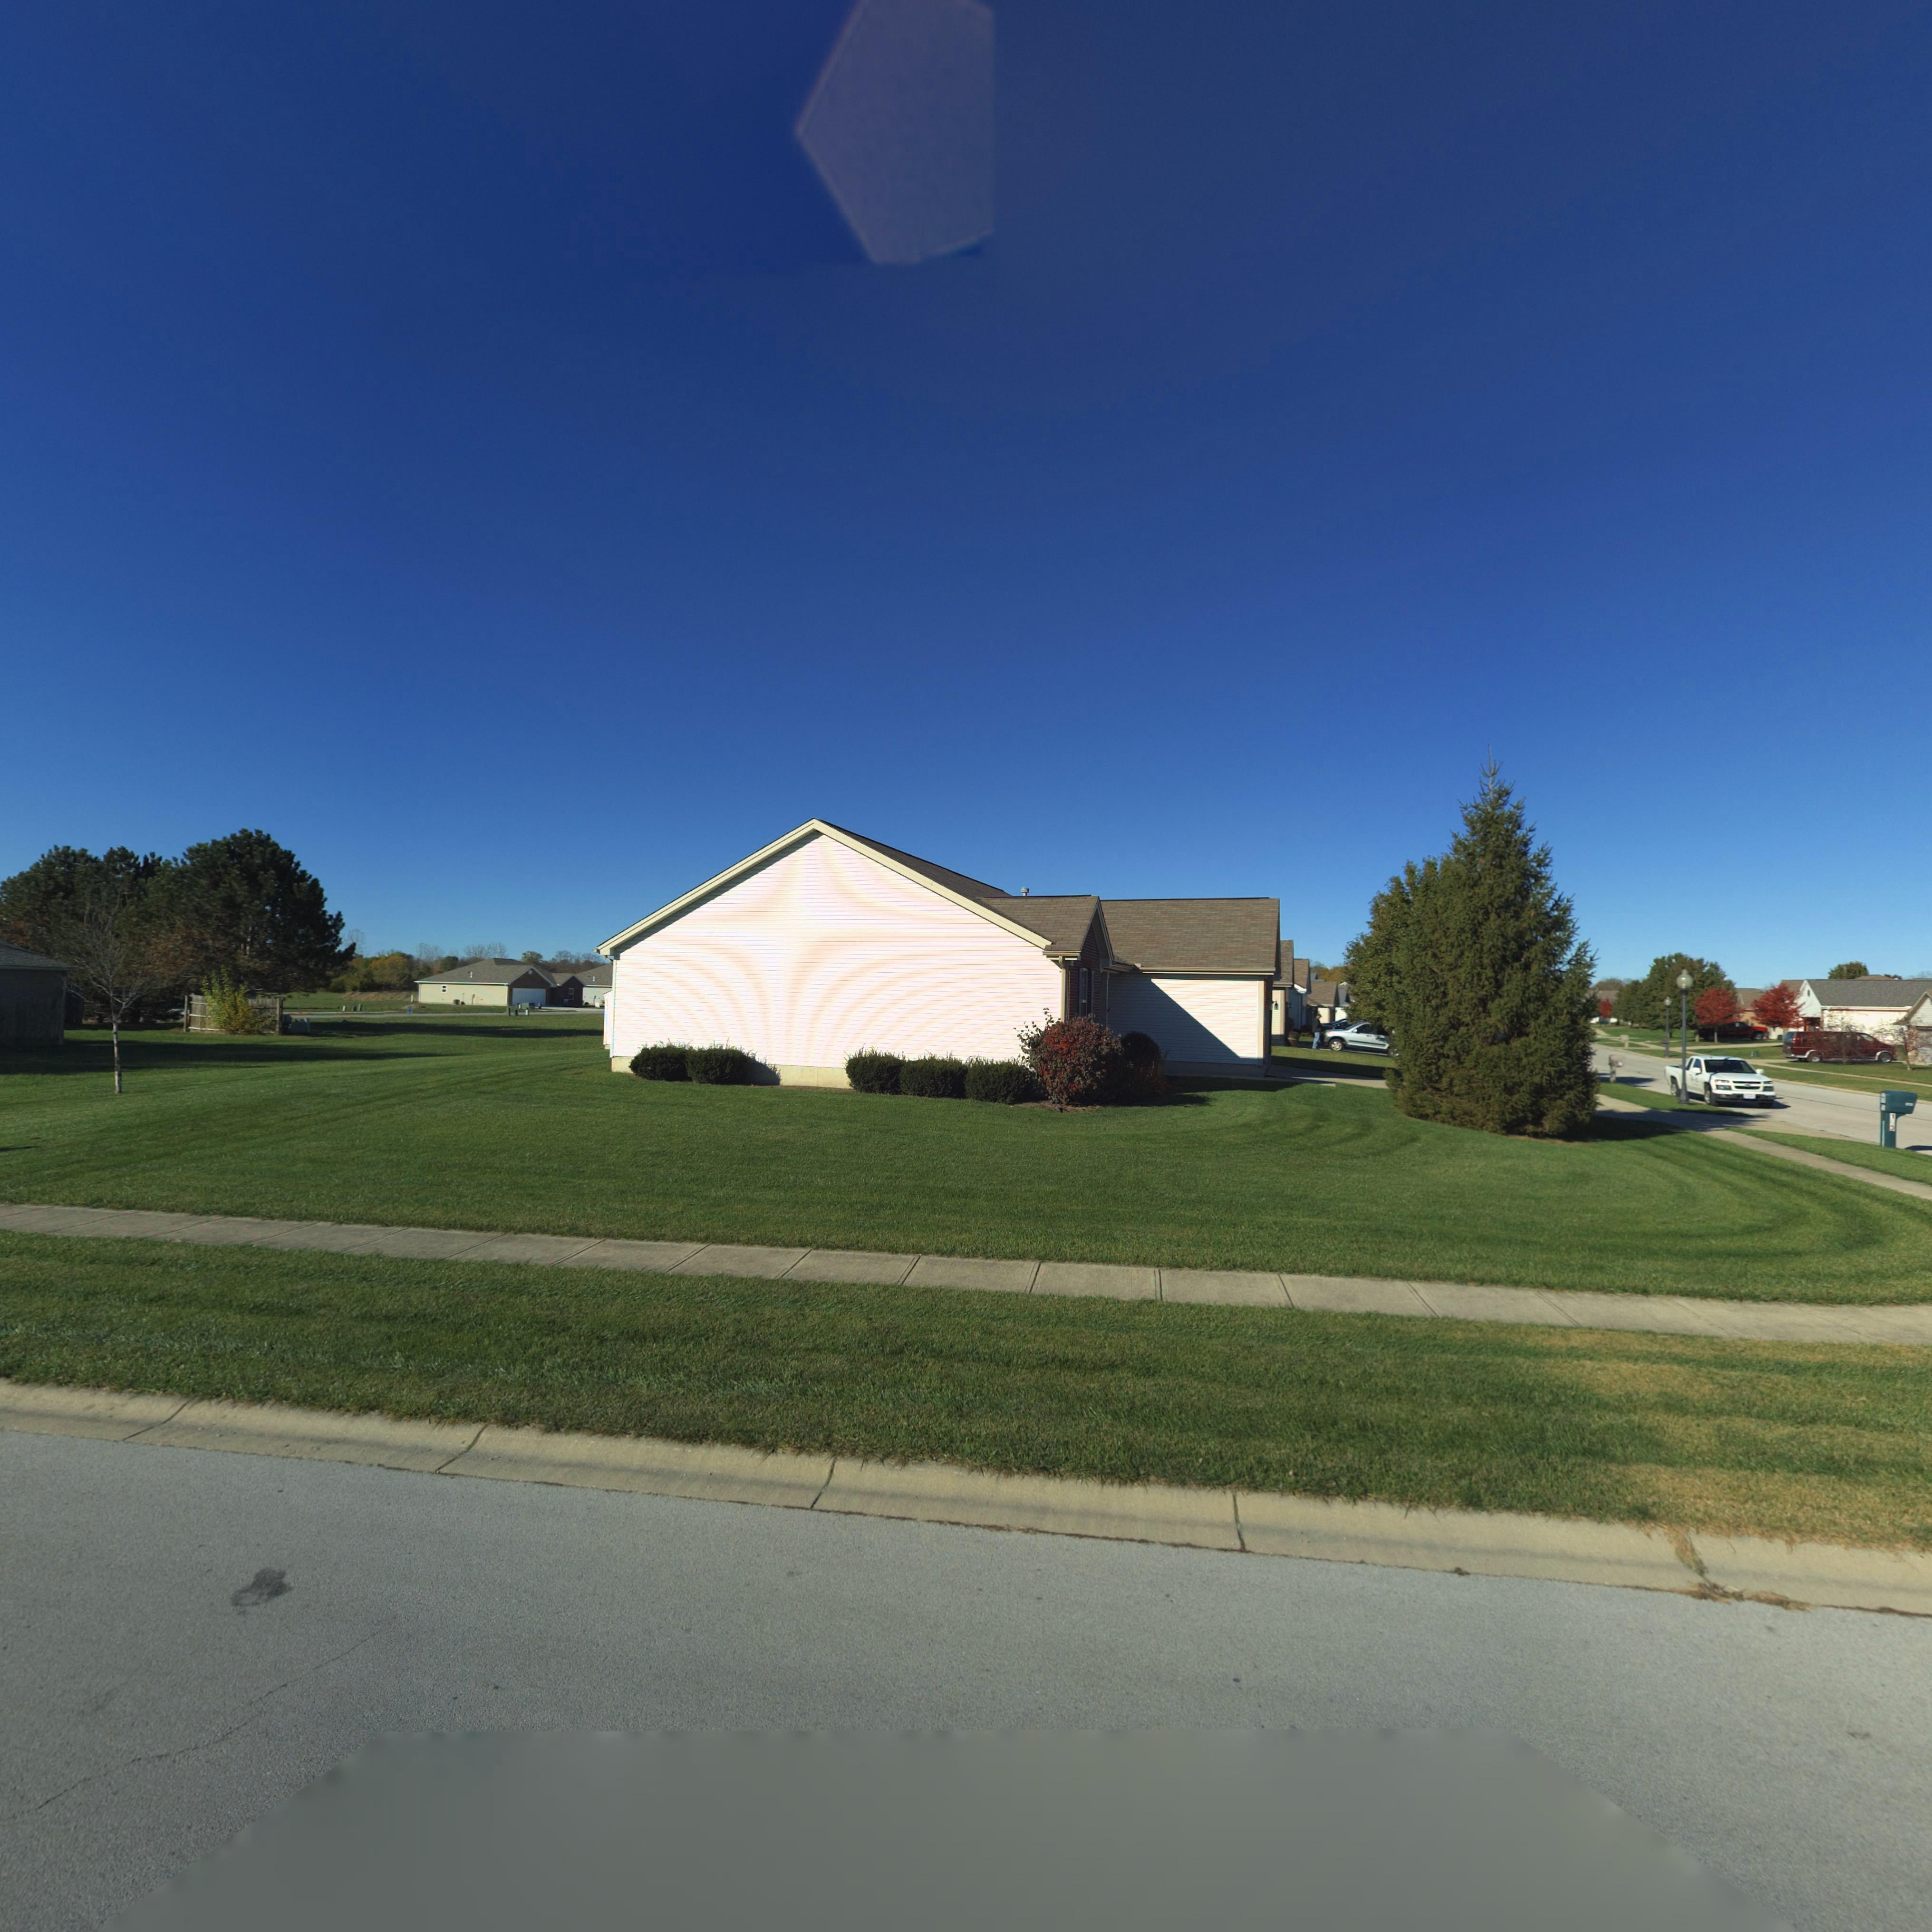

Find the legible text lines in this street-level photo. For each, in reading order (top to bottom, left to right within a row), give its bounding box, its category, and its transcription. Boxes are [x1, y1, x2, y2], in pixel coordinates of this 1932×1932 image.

[1890, 1114, 1894, 1130] StreetNumber: 1*3